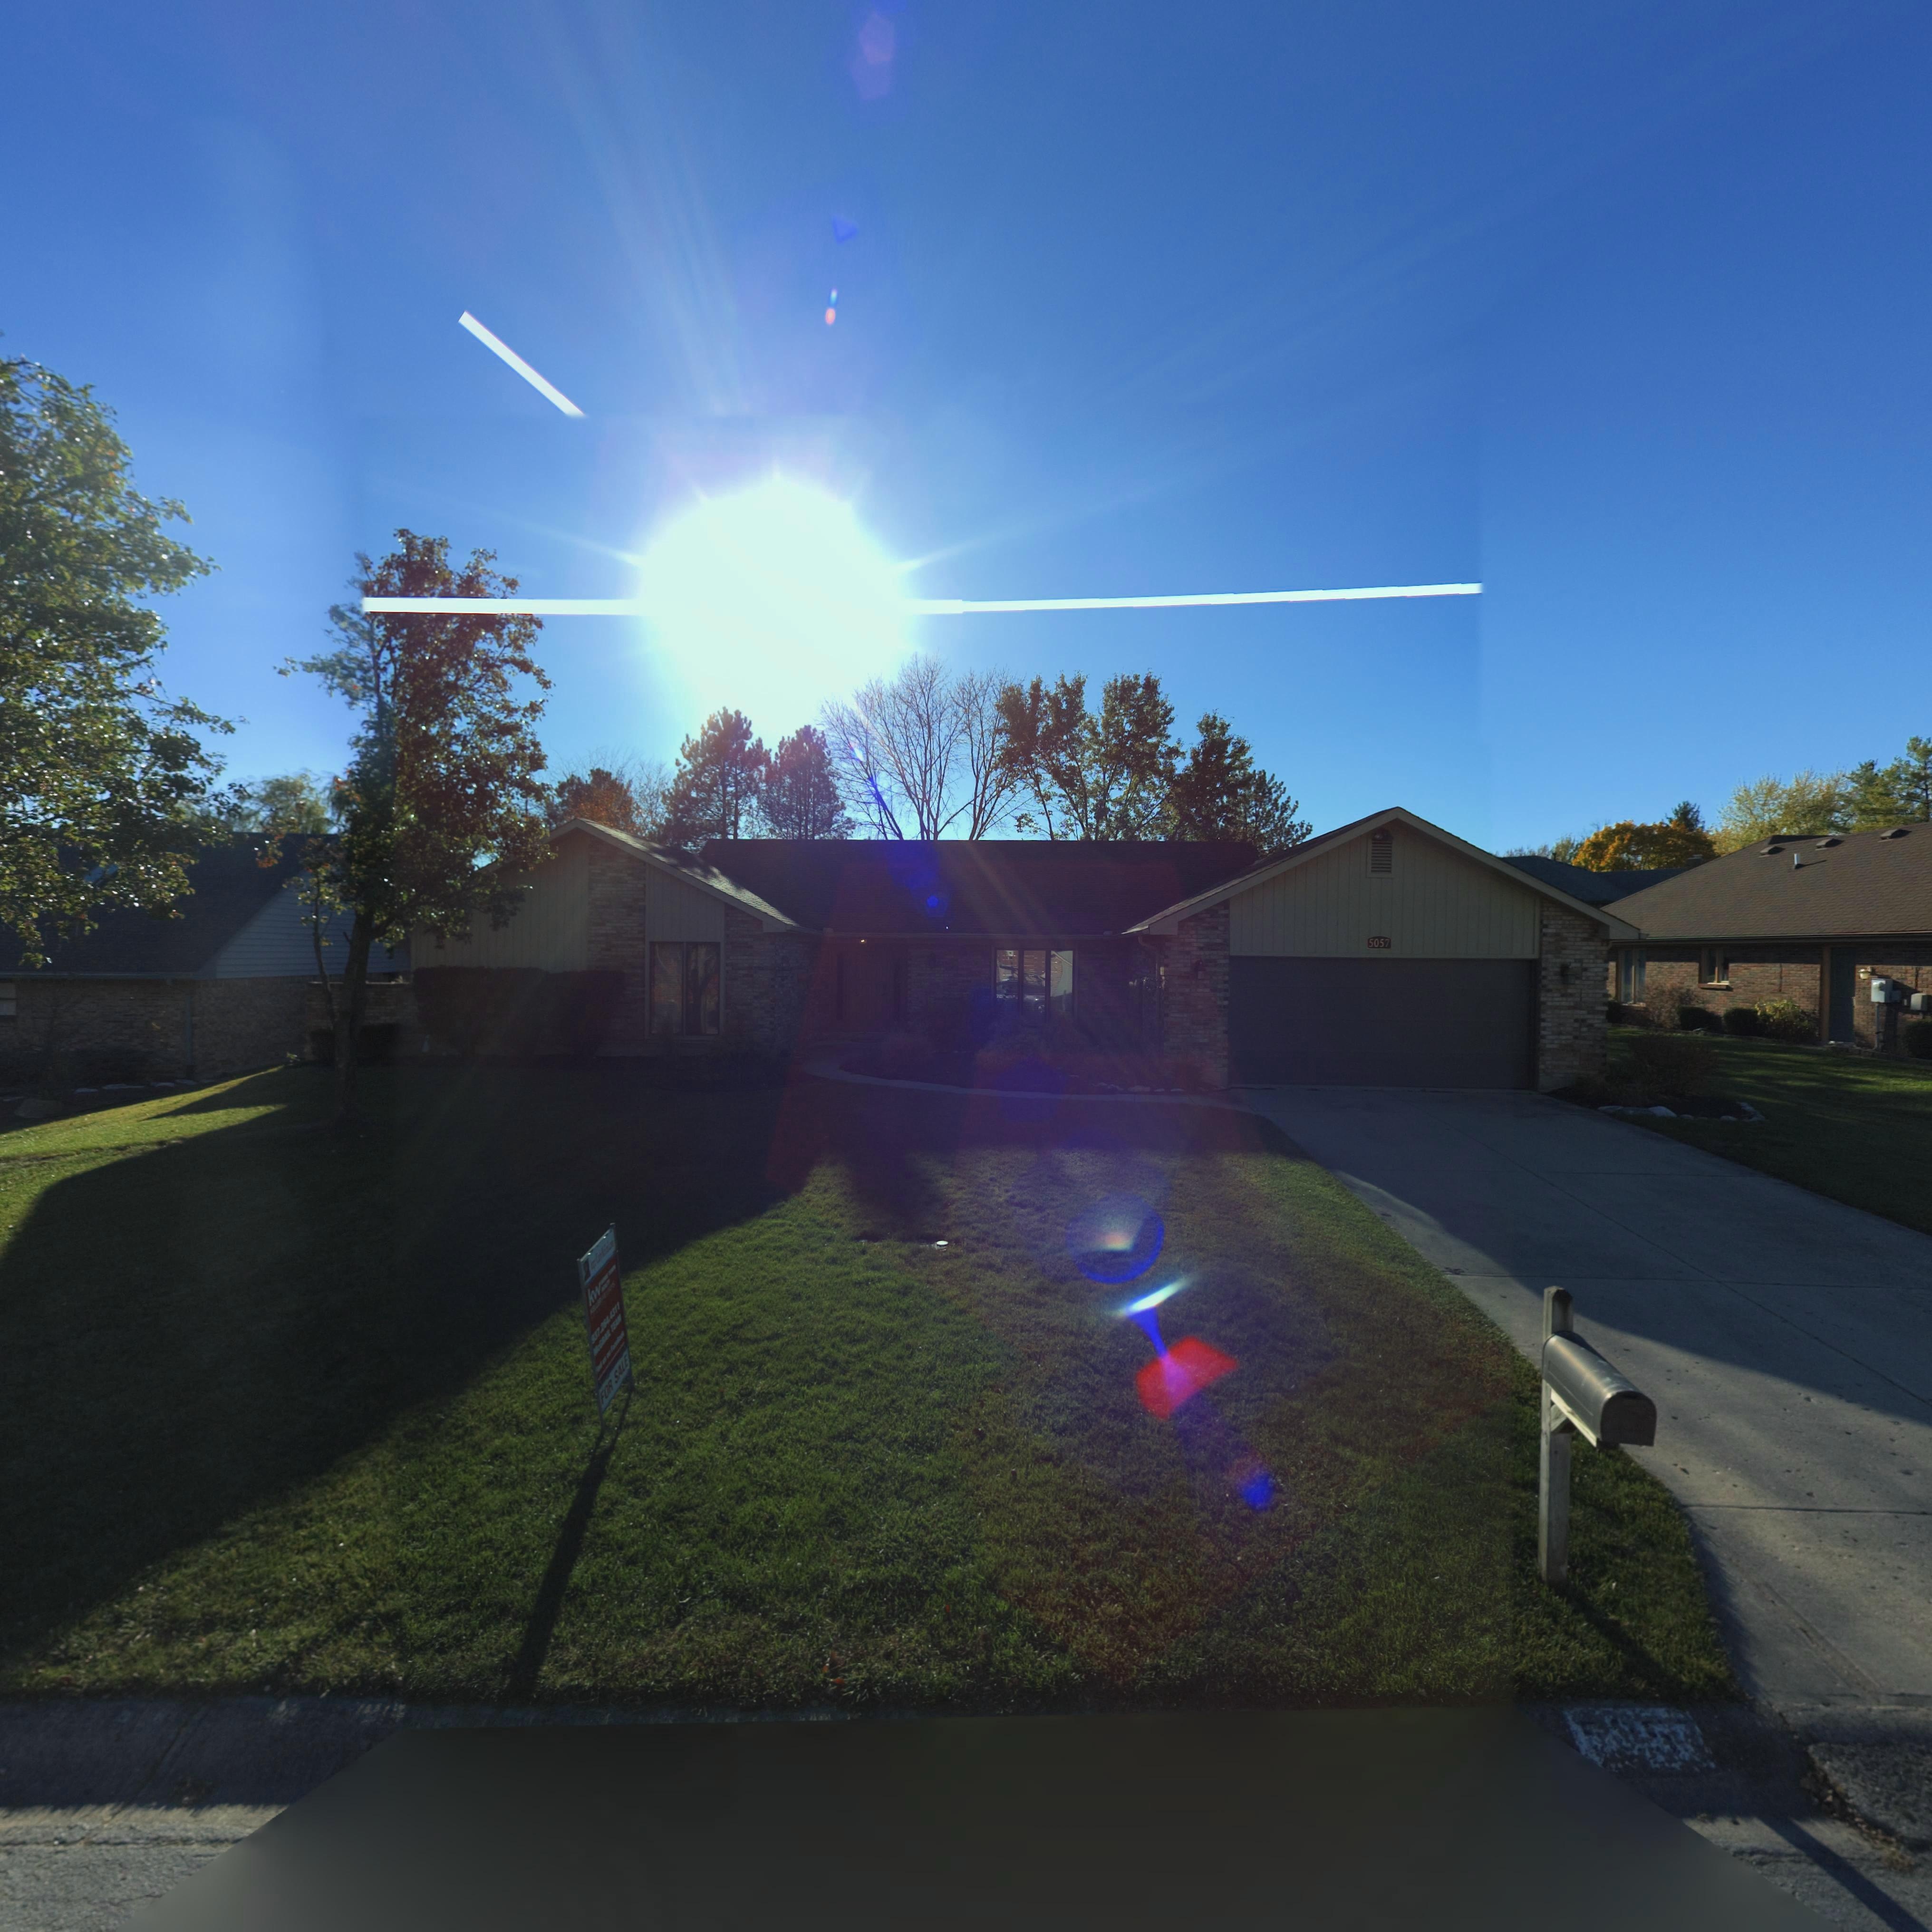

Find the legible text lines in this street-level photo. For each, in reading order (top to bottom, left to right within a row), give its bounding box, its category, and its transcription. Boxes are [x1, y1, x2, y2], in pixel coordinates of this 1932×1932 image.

[1368, 938, 1391, 948] StreetNumber: 5057
[1577, 1717, 1710, 1760] StreetNumber: 5057